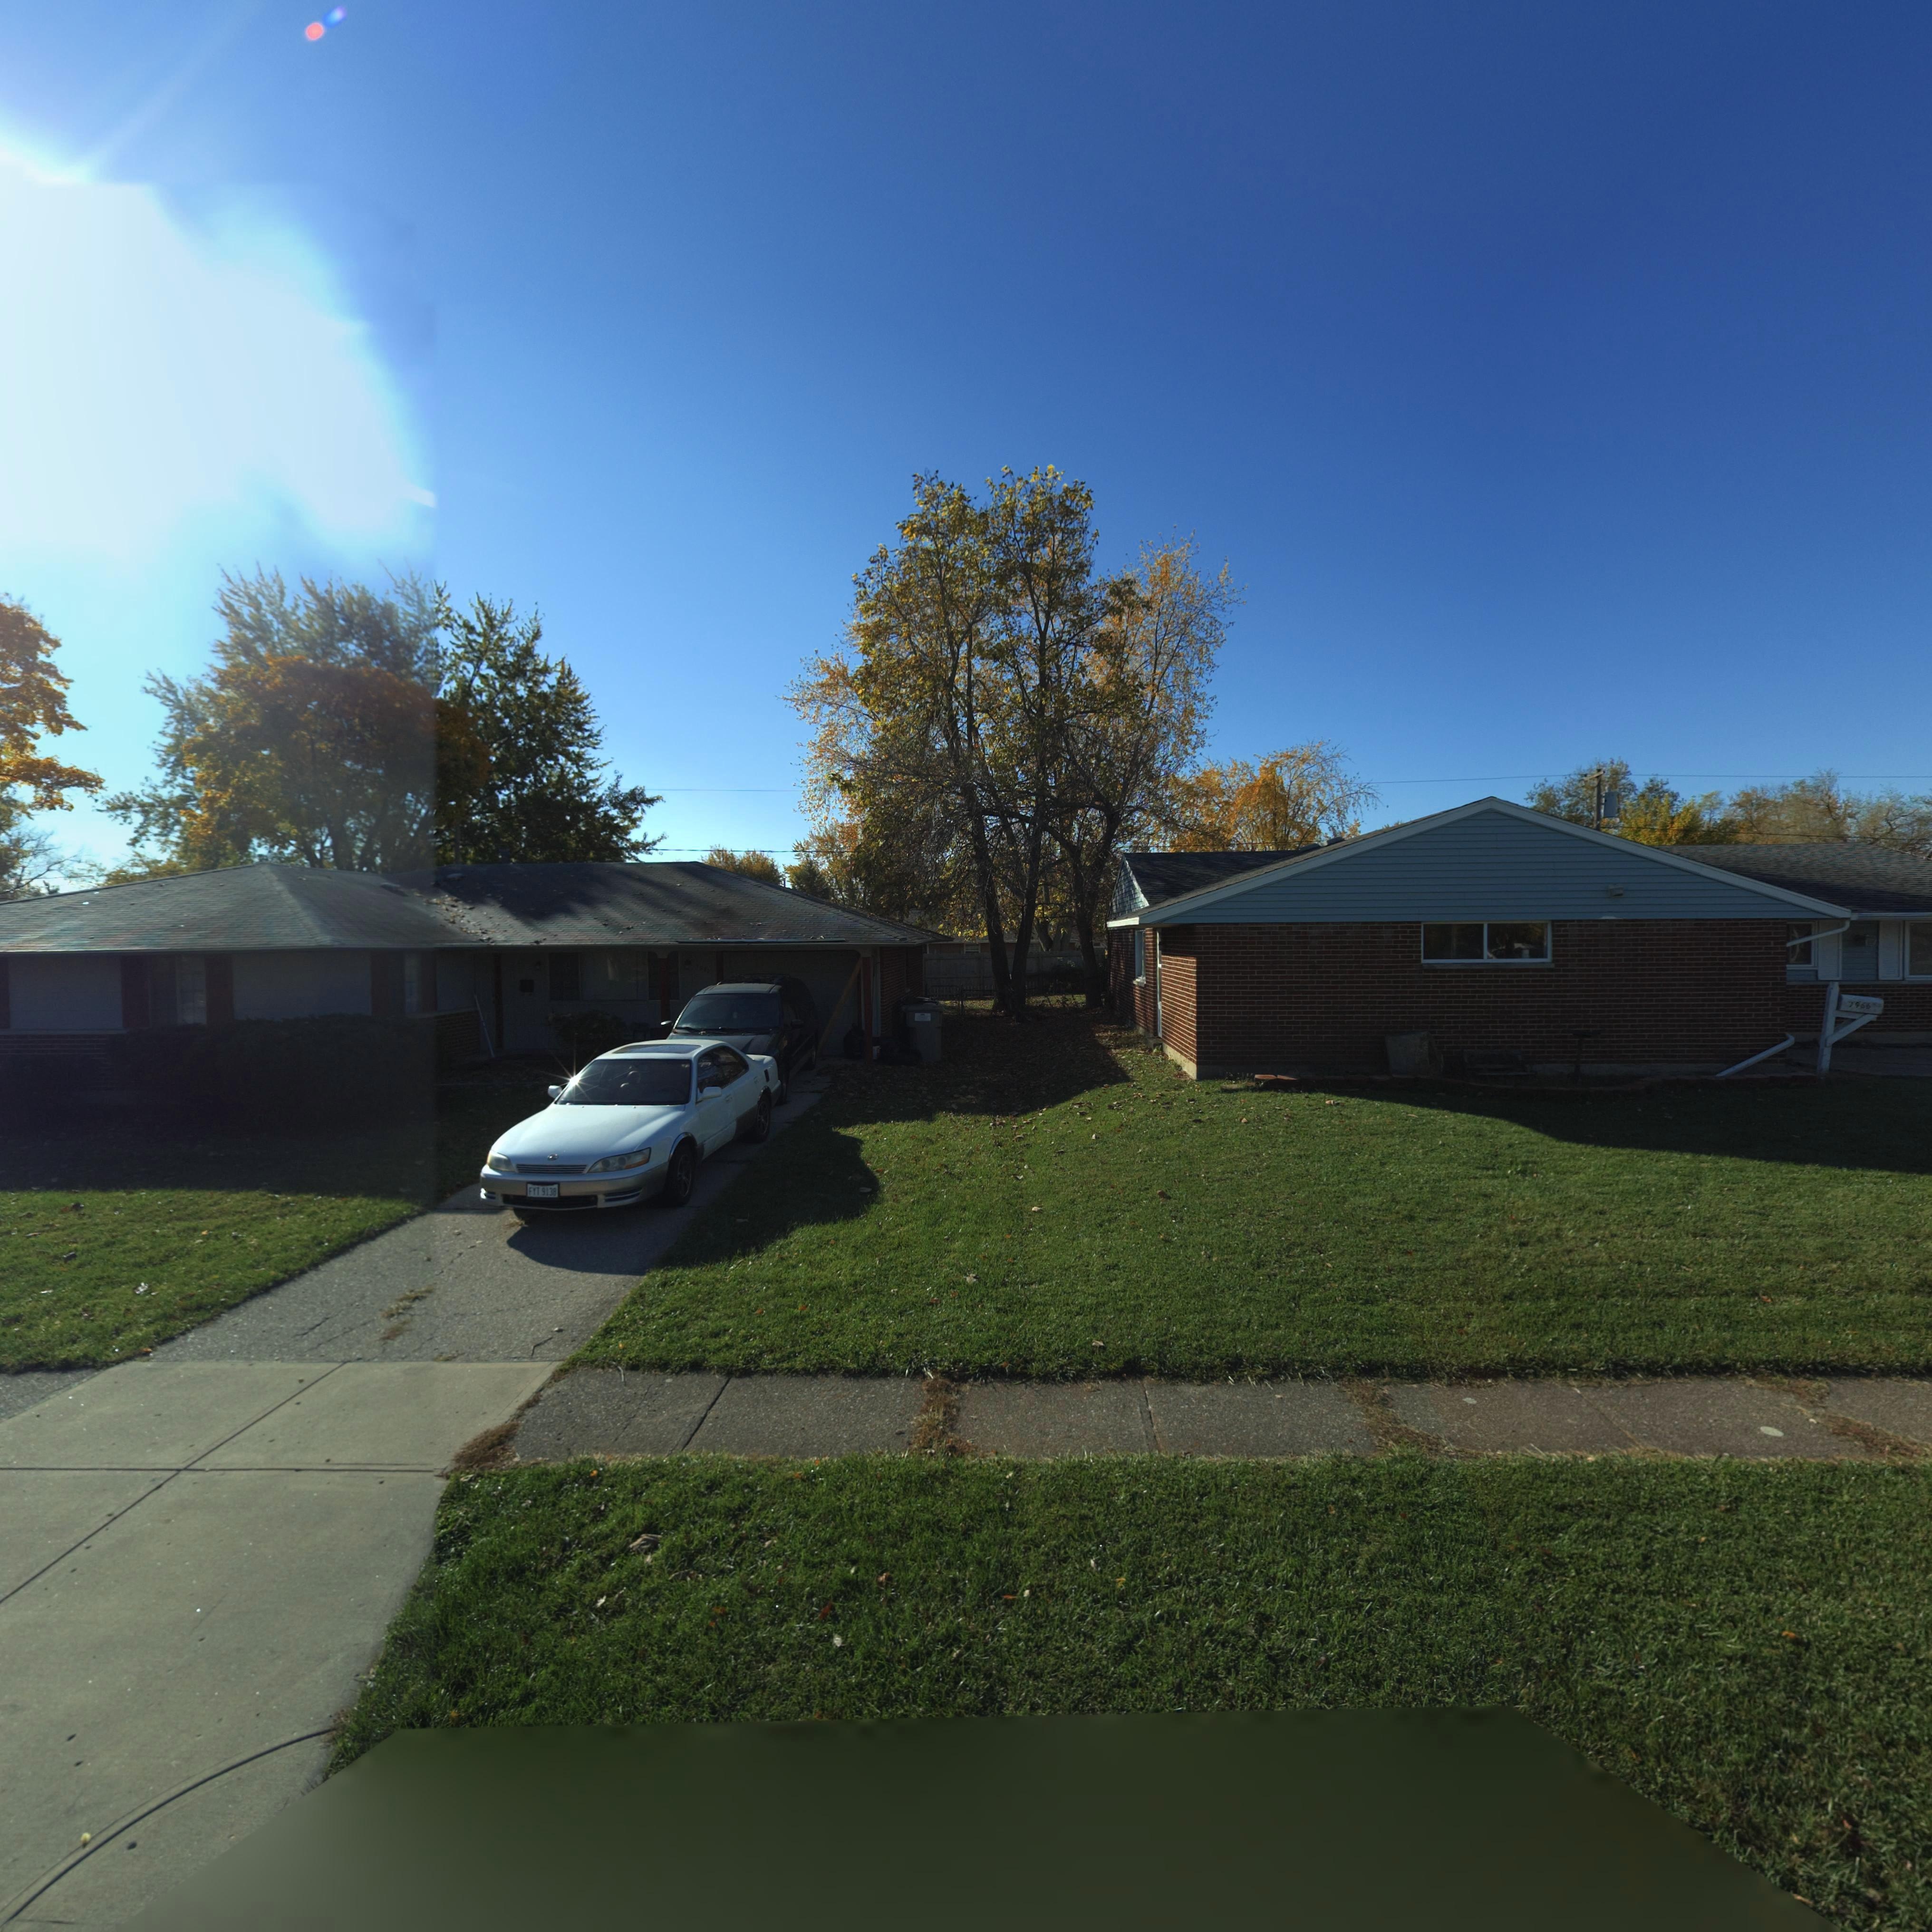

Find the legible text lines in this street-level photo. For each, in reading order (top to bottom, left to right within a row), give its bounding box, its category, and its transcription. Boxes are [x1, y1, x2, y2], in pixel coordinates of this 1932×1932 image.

[1847, 1001, 1872, 1011] StreetNumber: 7966